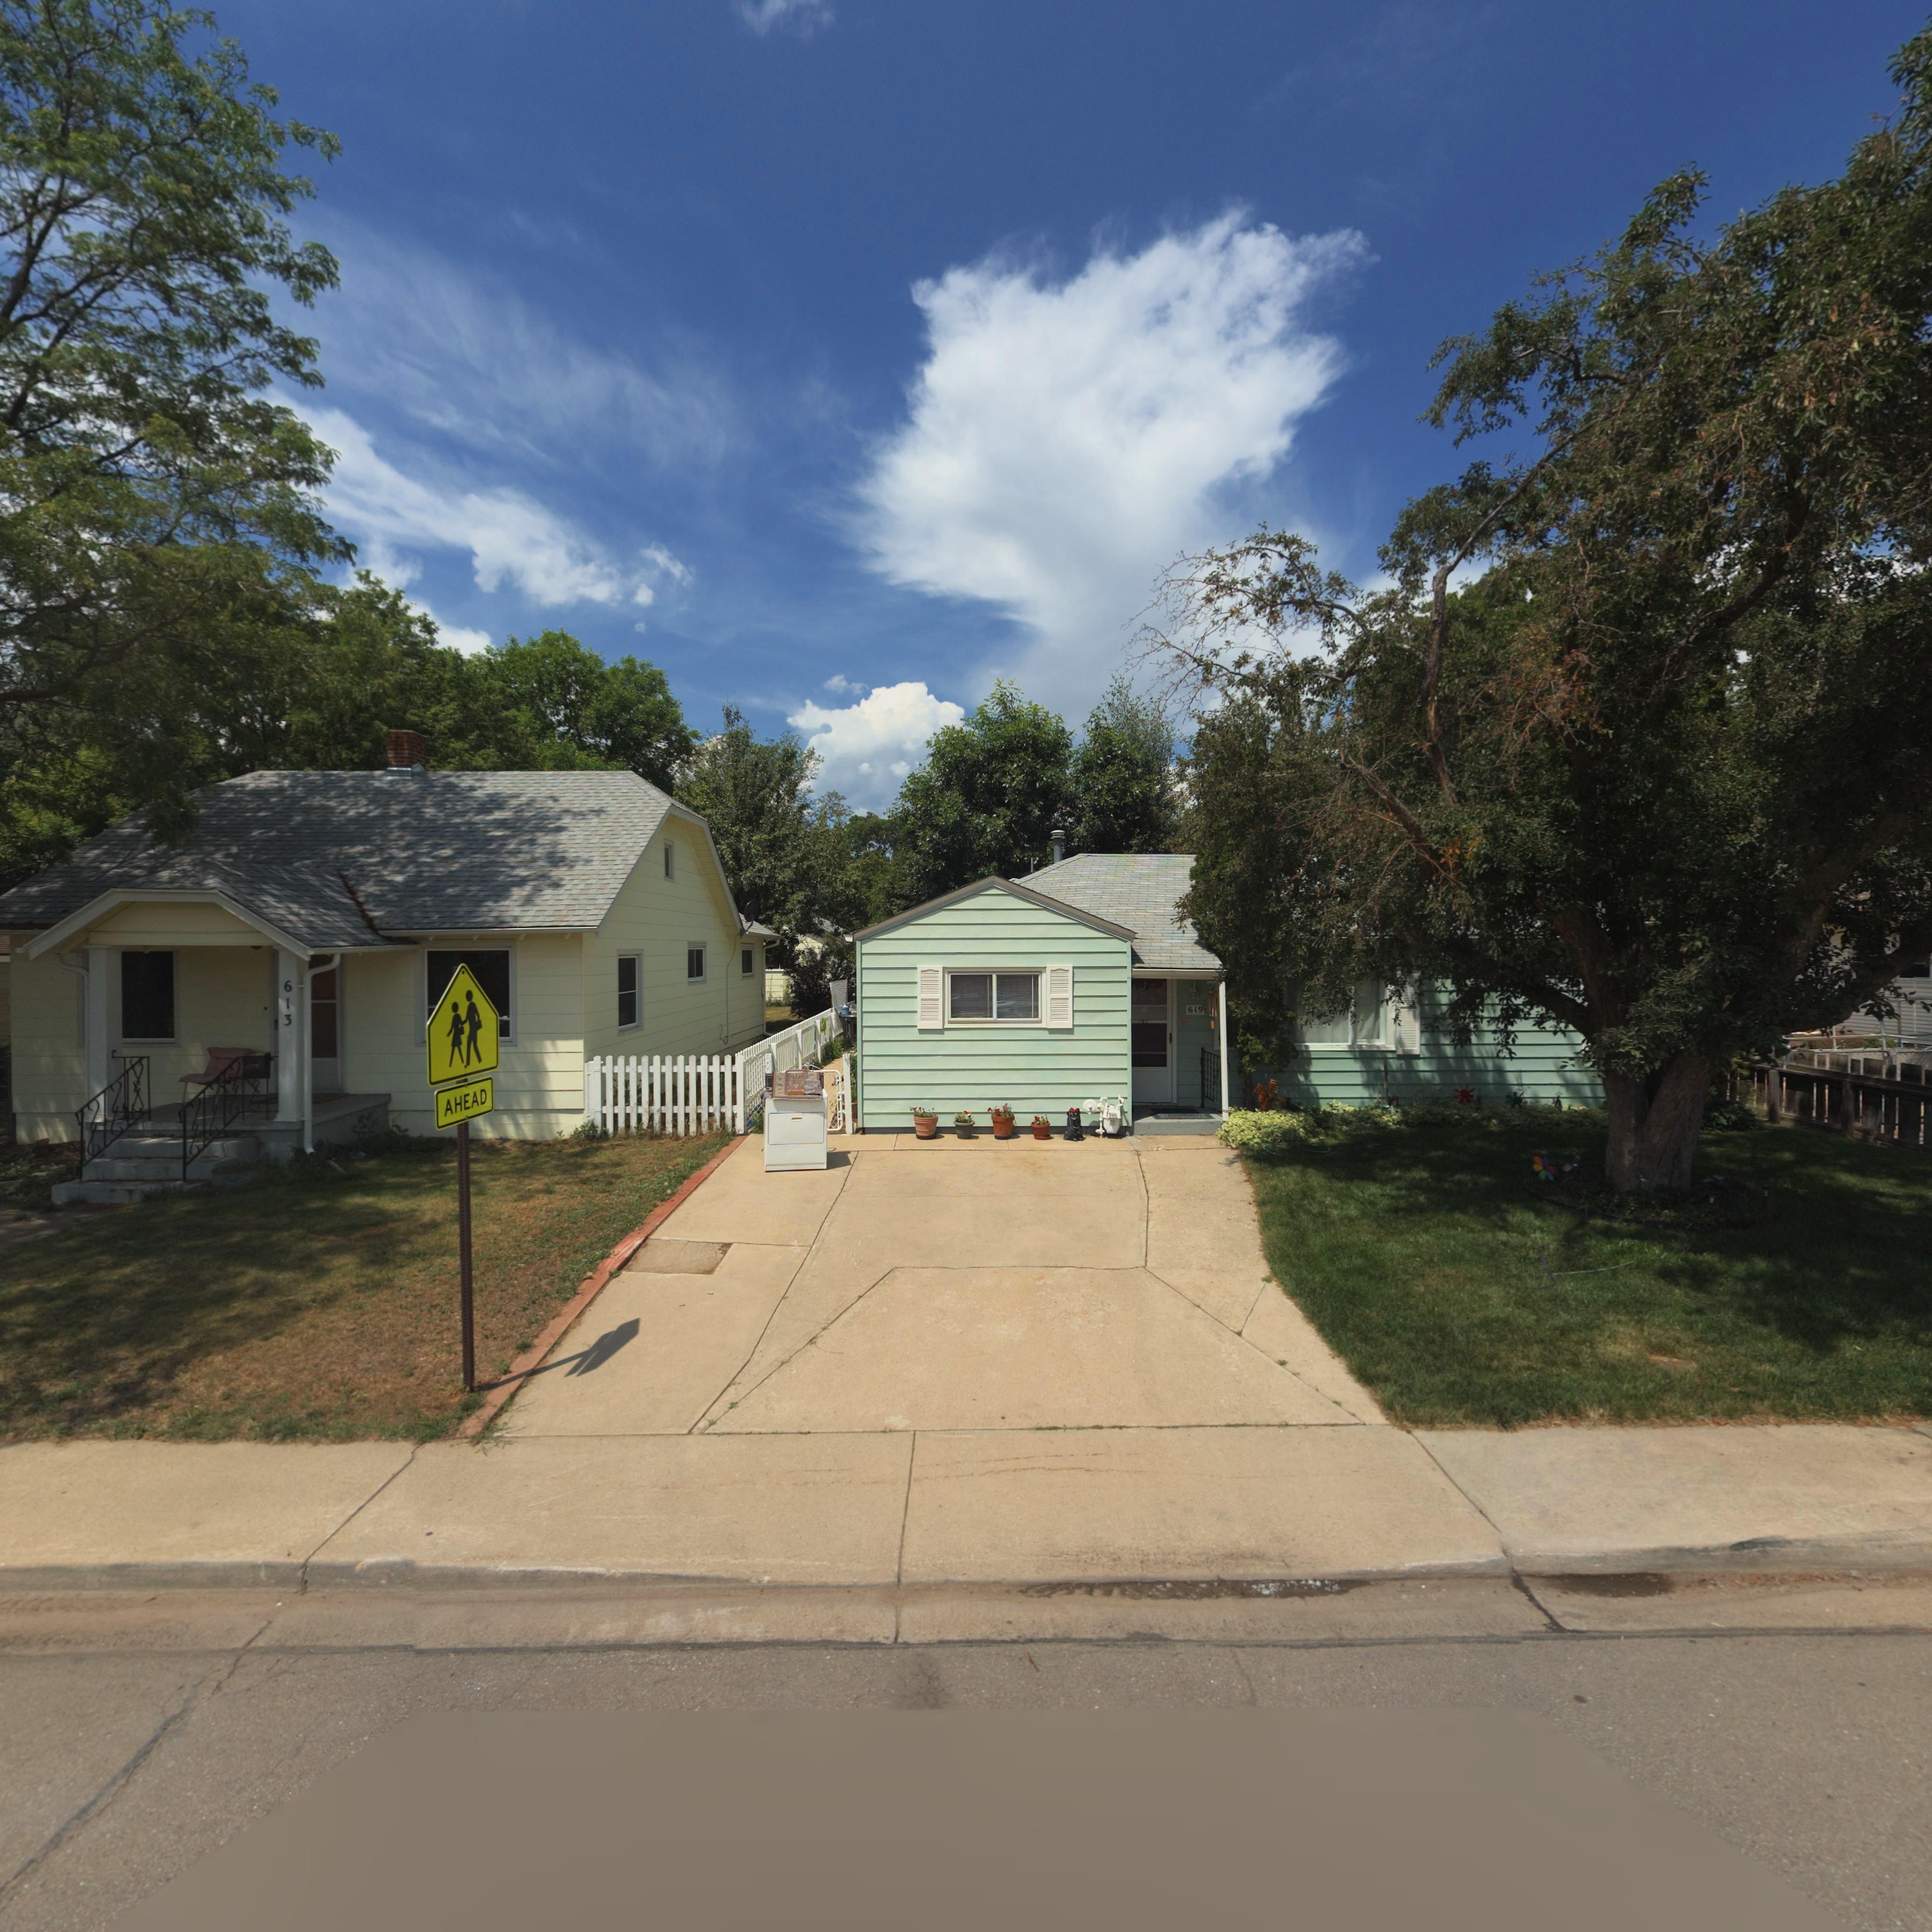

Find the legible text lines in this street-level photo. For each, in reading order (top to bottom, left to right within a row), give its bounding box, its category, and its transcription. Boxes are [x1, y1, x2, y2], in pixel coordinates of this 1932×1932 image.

[283, 979, 292, 1026] StreetNumber: 613
[1188, 1006, 1203, 1013] StreetNumber: 619